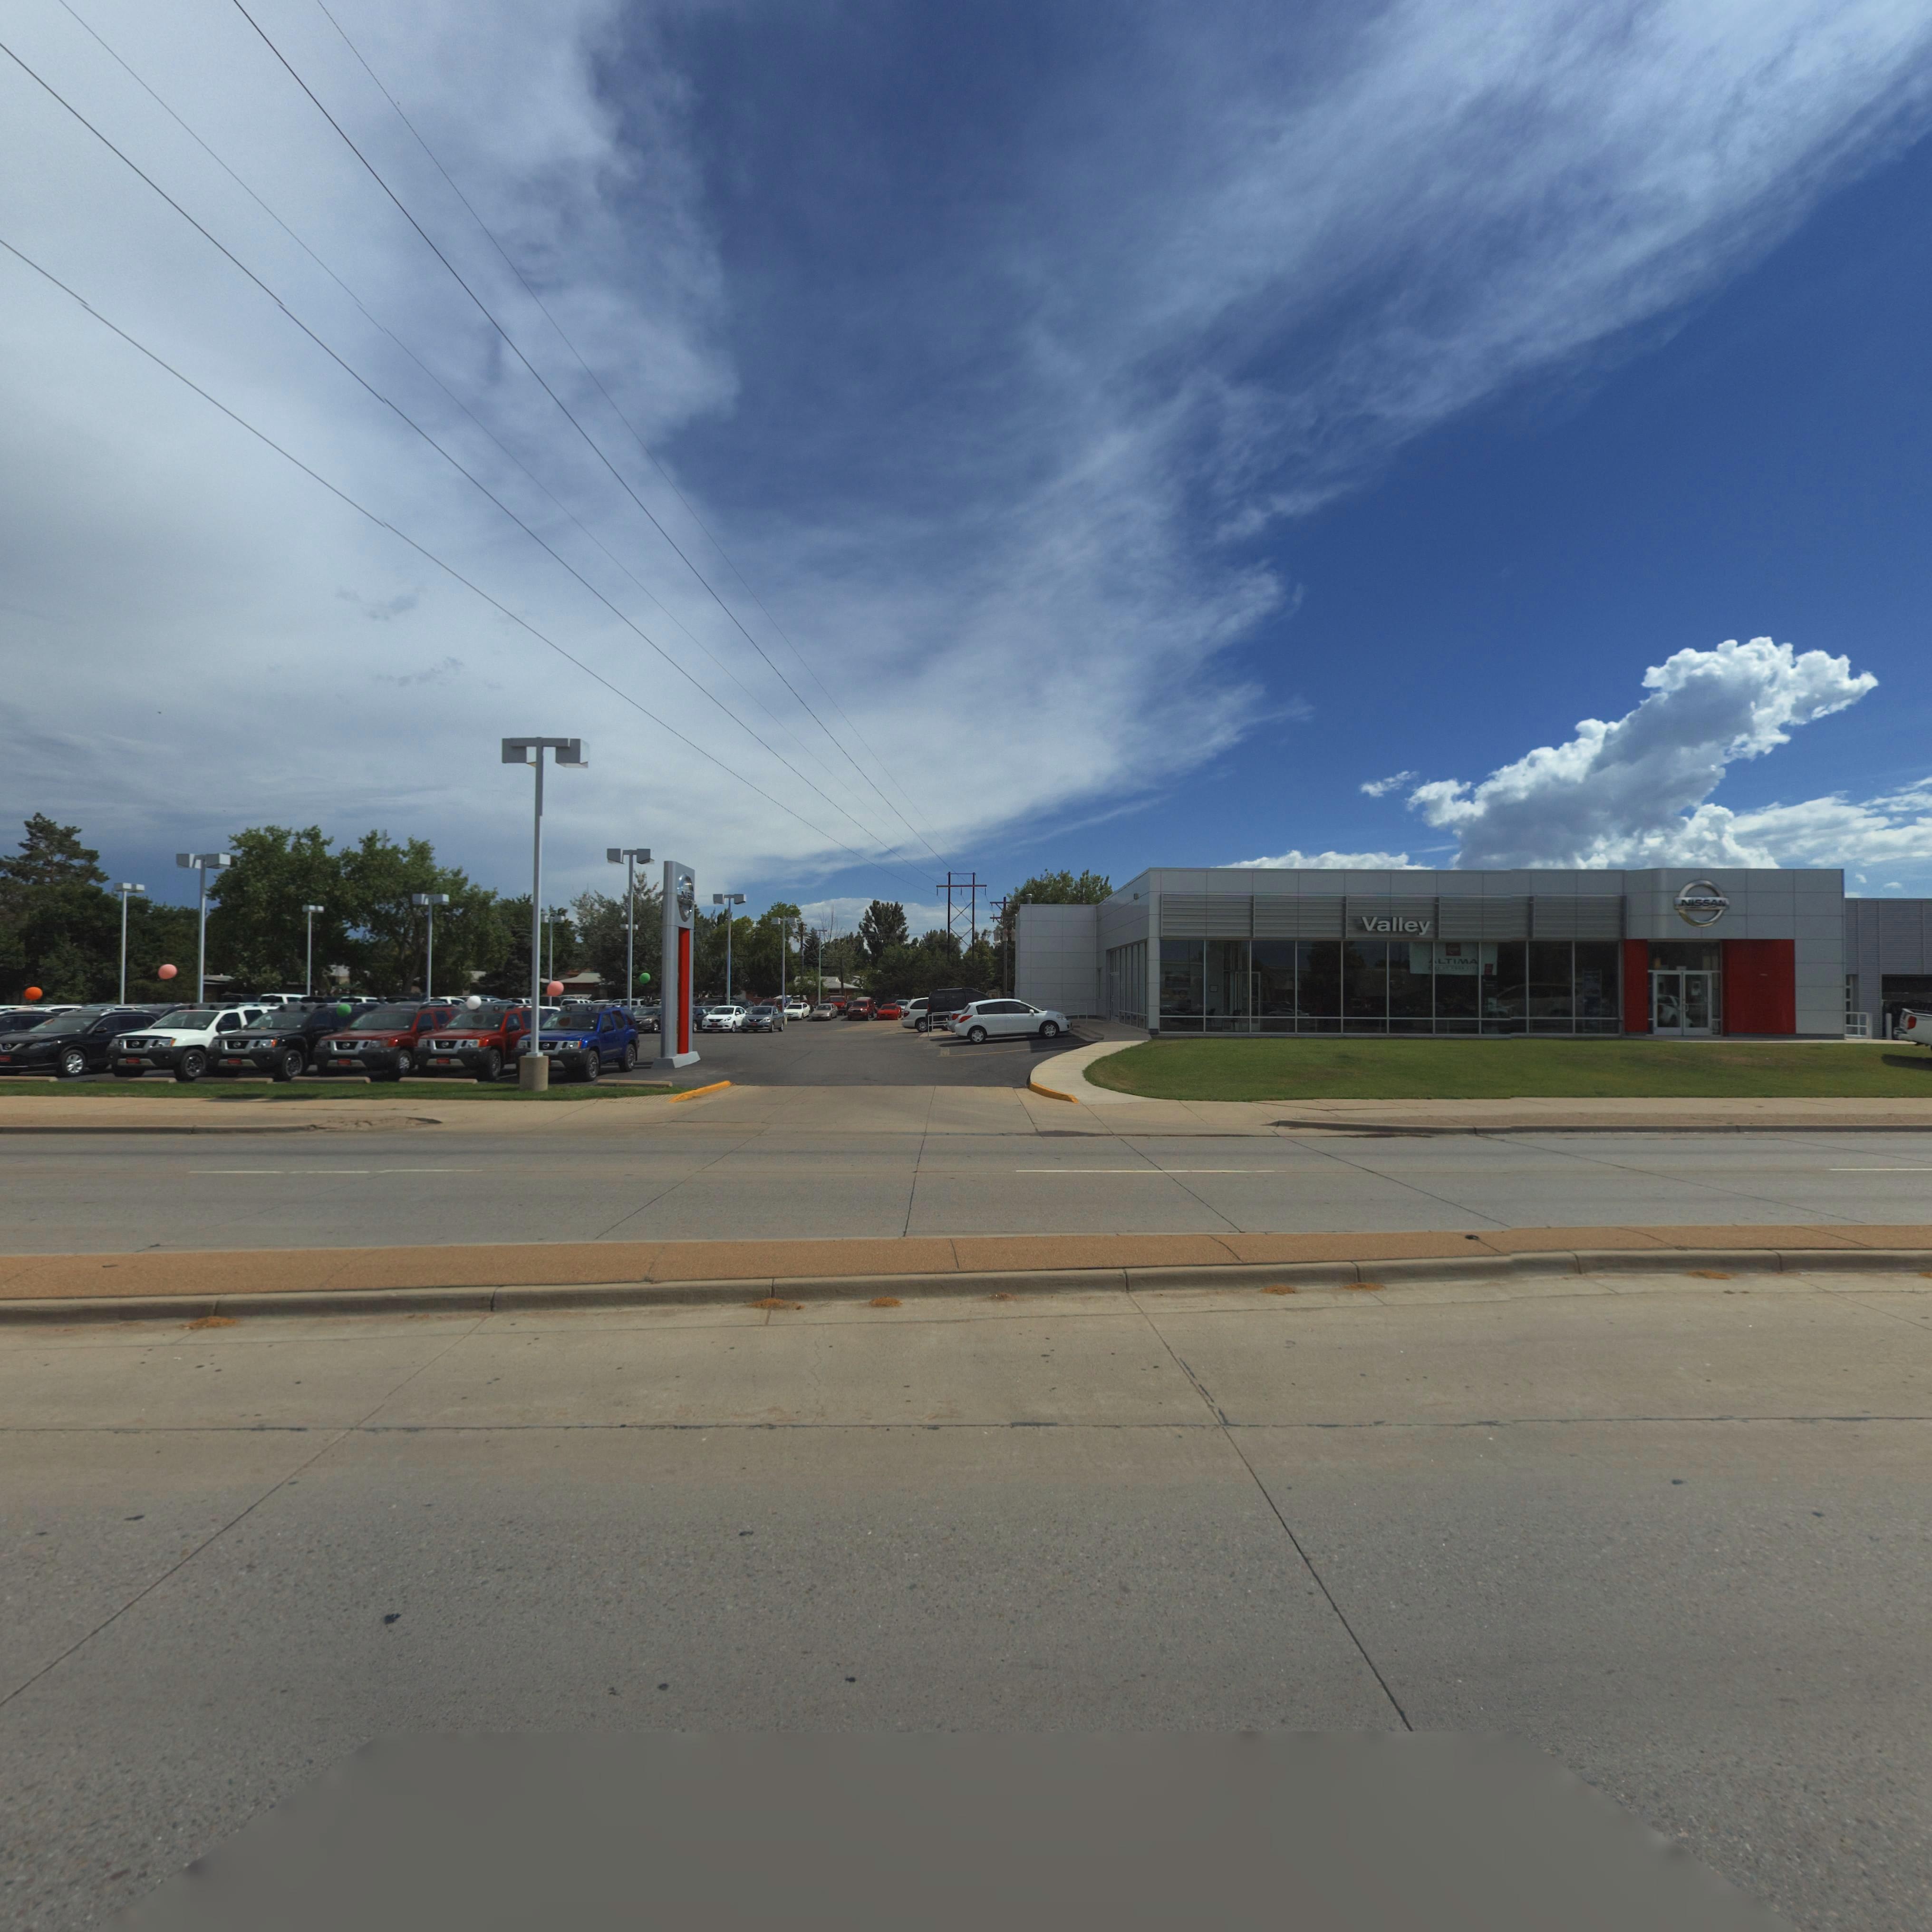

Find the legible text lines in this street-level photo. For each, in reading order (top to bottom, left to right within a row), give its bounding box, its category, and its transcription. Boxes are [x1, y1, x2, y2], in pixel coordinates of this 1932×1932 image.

[680, 889, 692, 901] BusinessName: NISS
[1681, 898, 1726, 907] BusinessName: NISSAN
[1360, 916, 1430, 936] BusinessName: Valley